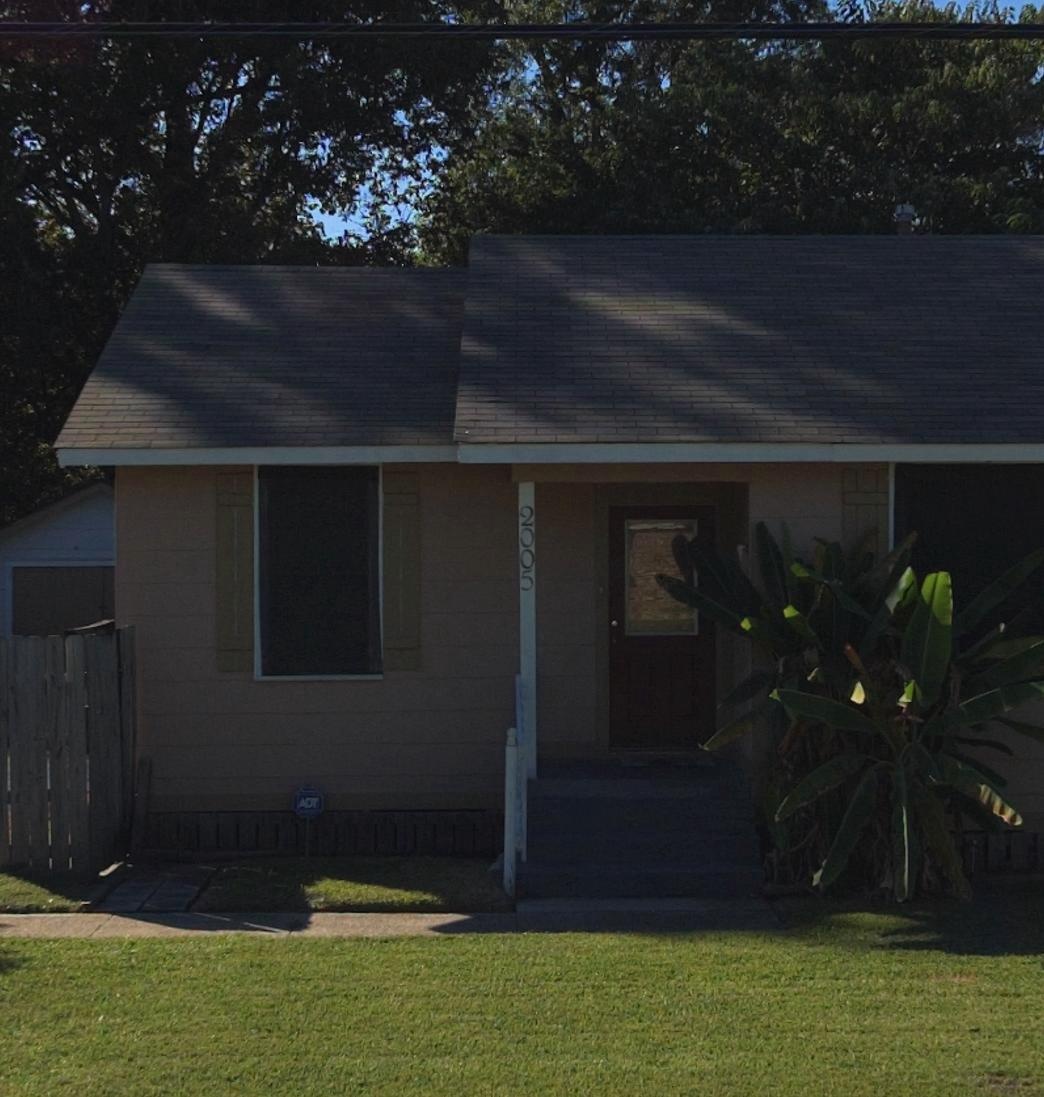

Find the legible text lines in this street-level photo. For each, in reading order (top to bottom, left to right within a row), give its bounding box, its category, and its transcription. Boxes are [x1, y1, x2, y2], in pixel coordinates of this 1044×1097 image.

[519, 503, 535, 593] StreetNumber: 2005
[294, 795, 320, 810] None: ADT